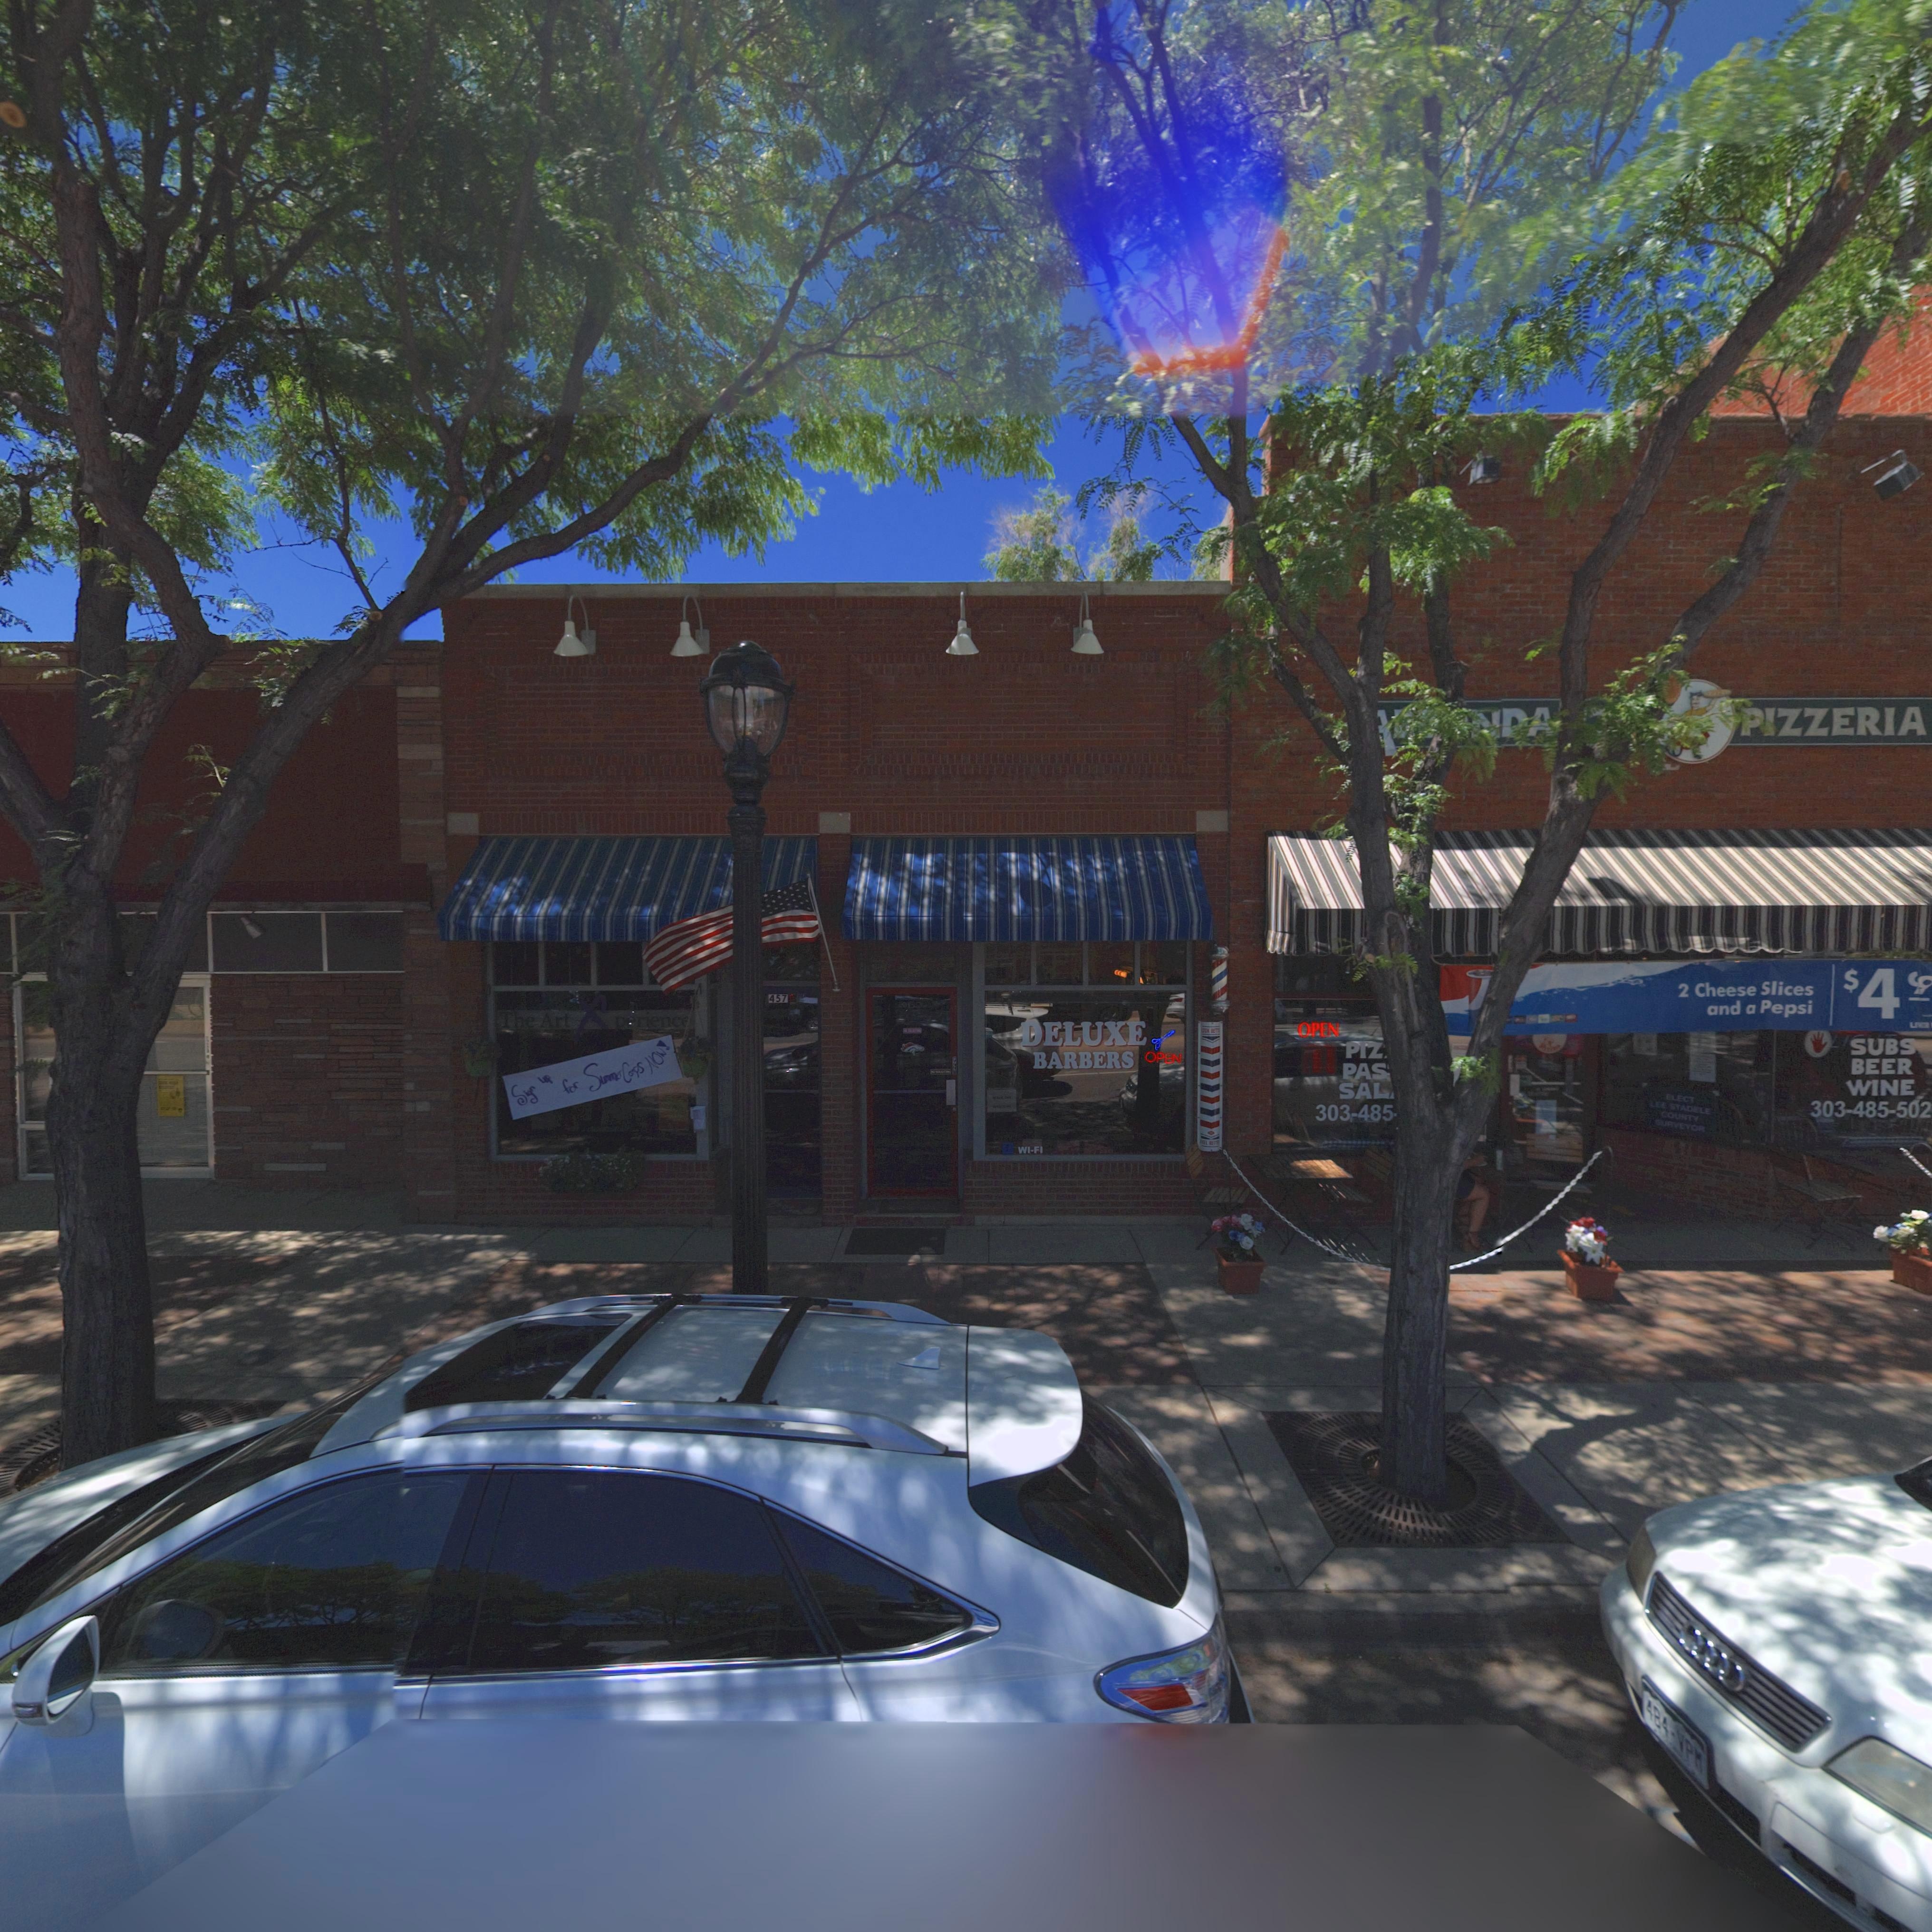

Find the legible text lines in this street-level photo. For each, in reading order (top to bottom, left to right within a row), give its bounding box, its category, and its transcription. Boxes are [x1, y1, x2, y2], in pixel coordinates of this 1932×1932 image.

[1376, 705, 1928, 757] BusinessName: *****DA PIZZERIA
[769, 994, 787, 1003] StreetNumber: 457
[498, 1010, 572, 1029] BusinessName: The Art
[570, 993, 609, 1043] BusinessName: X
[614, 1010, 692, 1032] None: perience
[1020, 1020, 1147, 1046] BusinessName: DELUXE
[1032, 1051, 1135, 1069] BusinessName: BARBERS